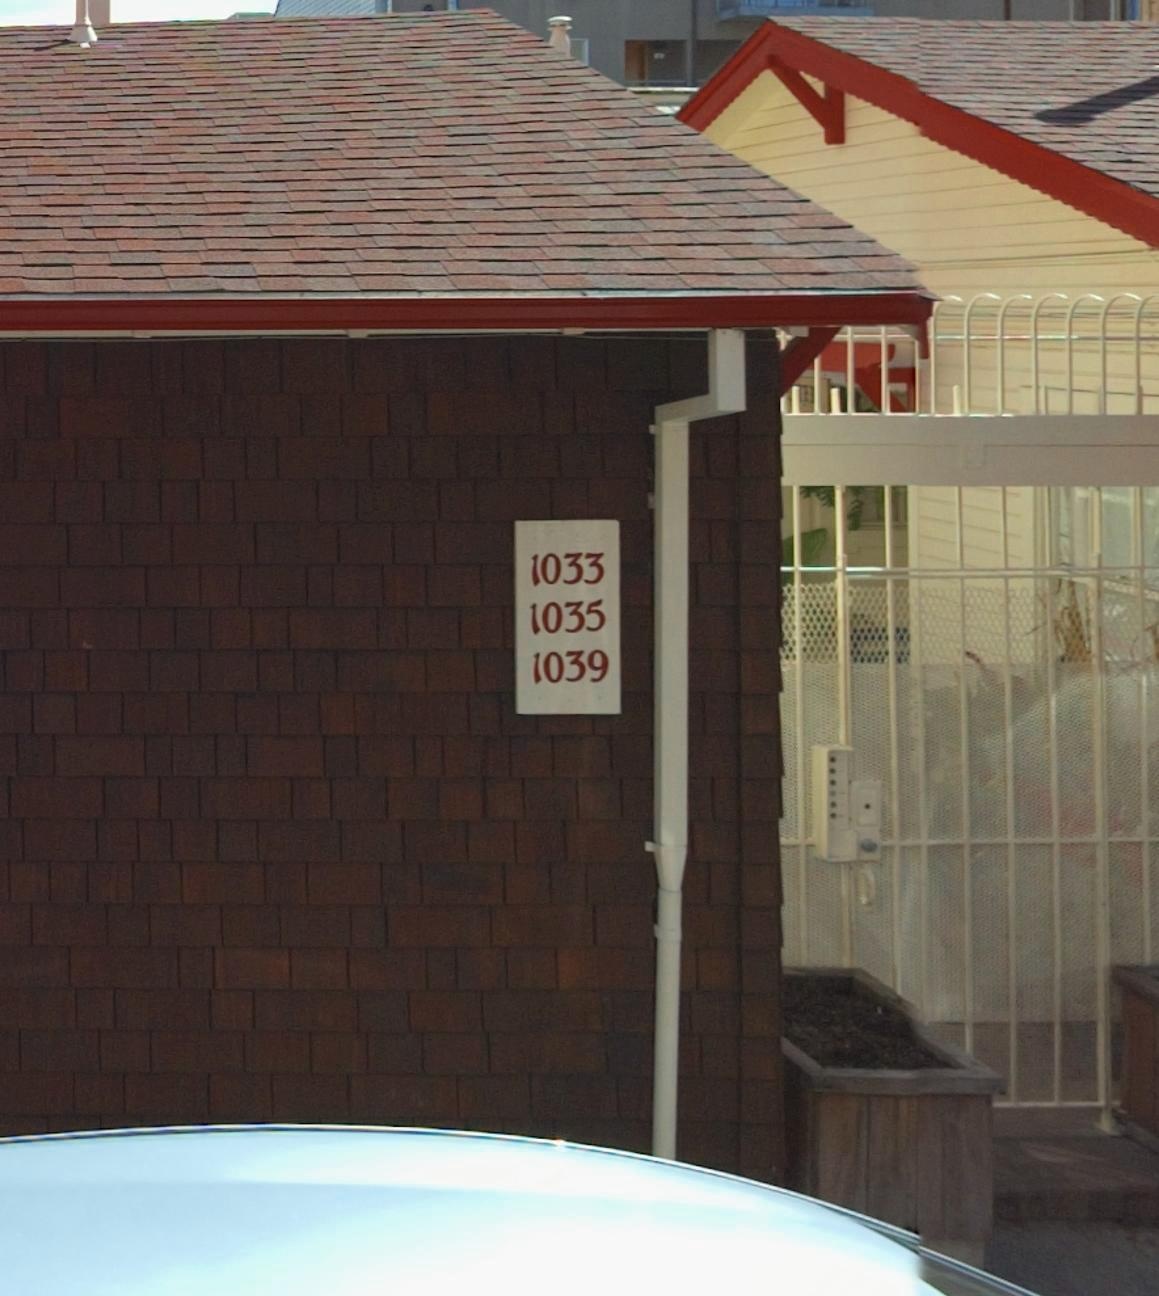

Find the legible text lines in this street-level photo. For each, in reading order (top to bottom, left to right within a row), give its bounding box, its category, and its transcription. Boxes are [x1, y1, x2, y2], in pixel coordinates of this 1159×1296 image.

[525, 549, 609, 588] StreetNumber: 1033
[526, 597, 609, 638] StreetNumber: 1035
[530, 647, 613, 690] StreetNumber: 1039